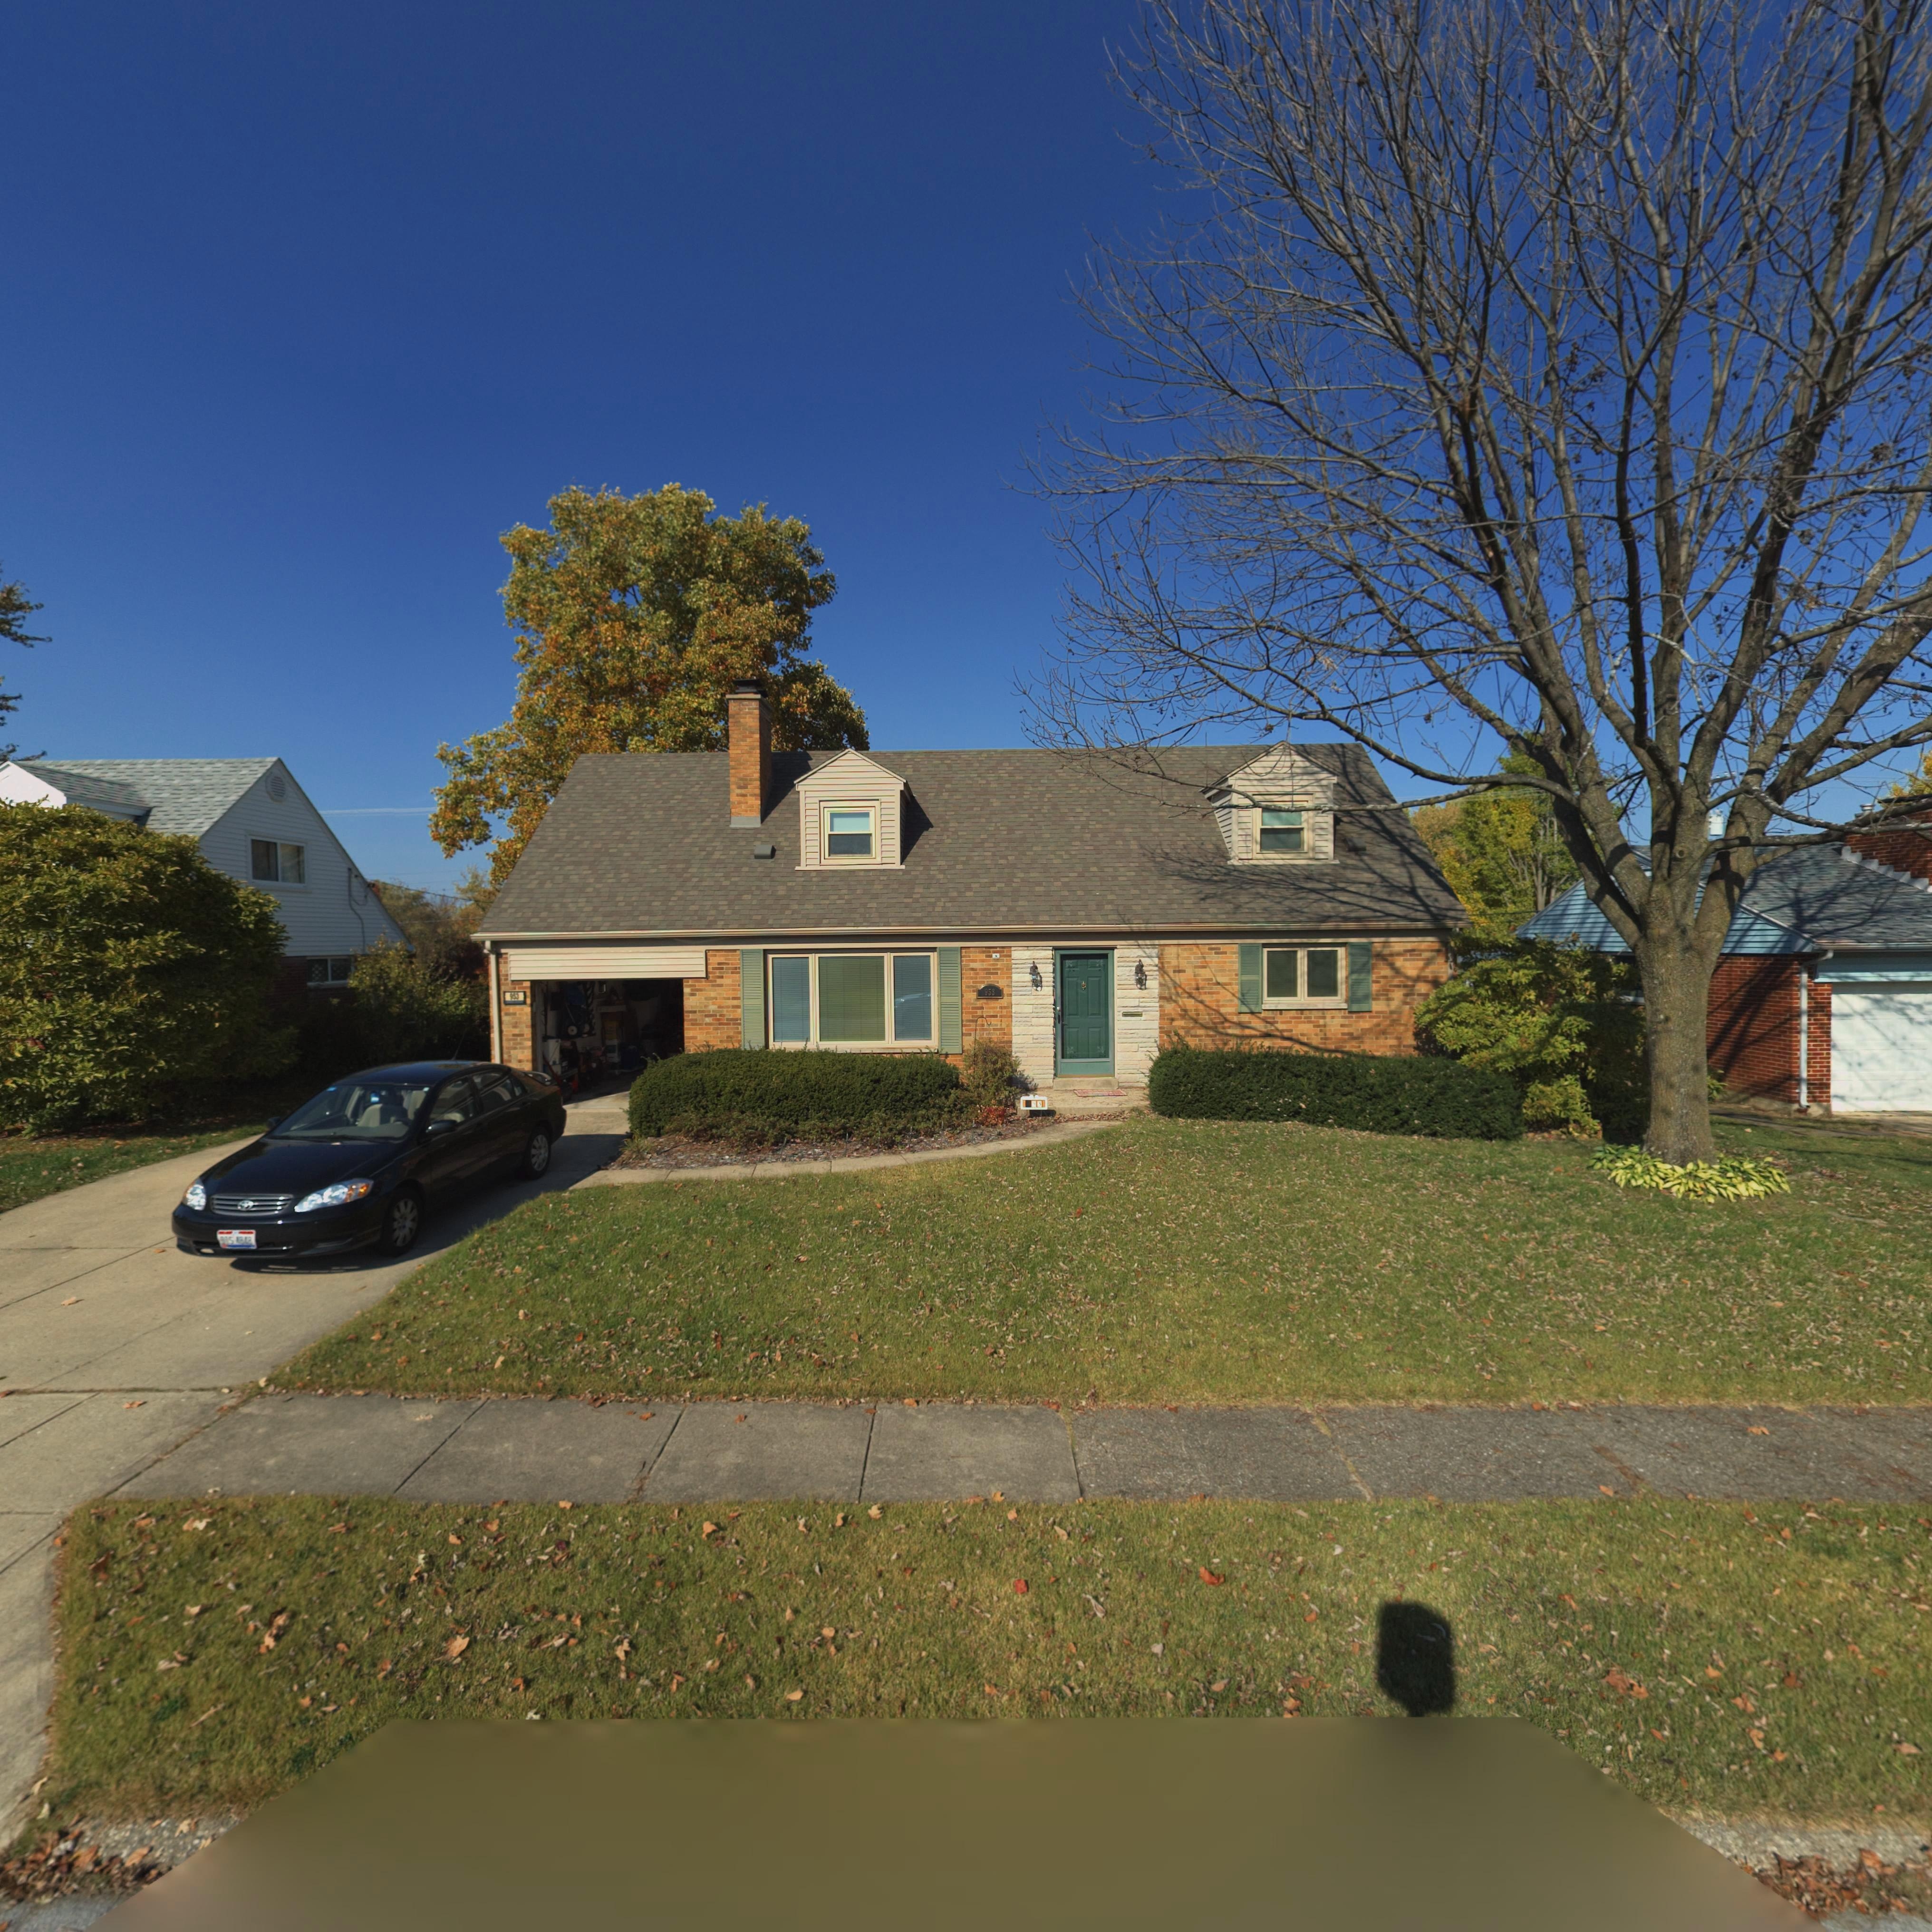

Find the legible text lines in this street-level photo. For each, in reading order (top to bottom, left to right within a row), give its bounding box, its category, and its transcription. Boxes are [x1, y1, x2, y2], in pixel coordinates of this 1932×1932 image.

[985, 988, 995, 996] StreetNumber: 953
[509, 993, 519, 1000] StreetNumber: 953
[219, 1236, 253, 1246] None: **S*4848